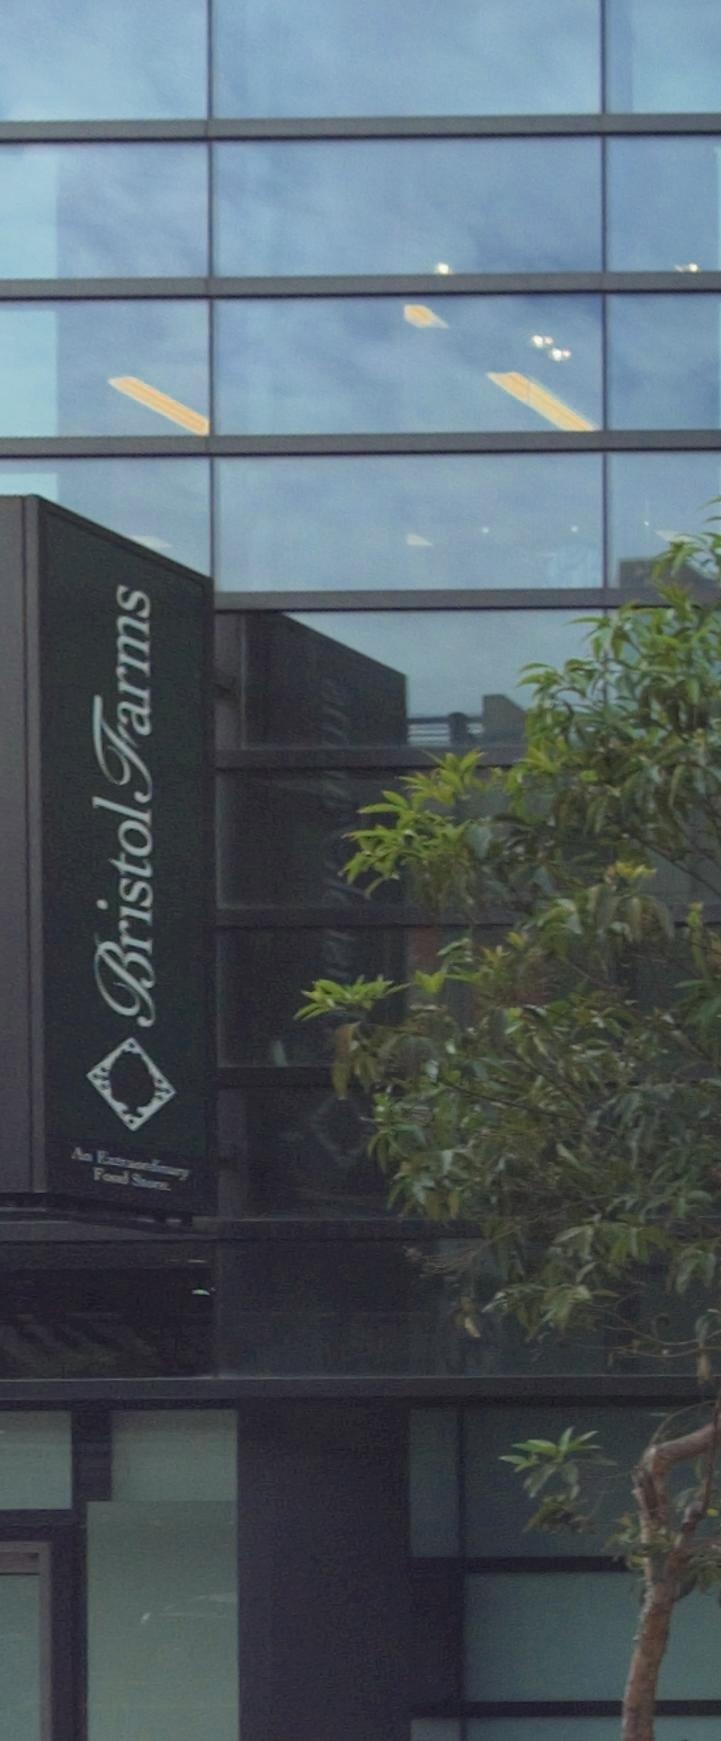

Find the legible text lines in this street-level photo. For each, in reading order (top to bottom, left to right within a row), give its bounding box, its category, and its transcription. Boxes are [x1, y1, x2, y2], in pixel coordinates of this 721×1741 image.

[82, 573, 169, 1017] BusinessName: Bristol Farms
[90, 1165, 107, 1184] None: F